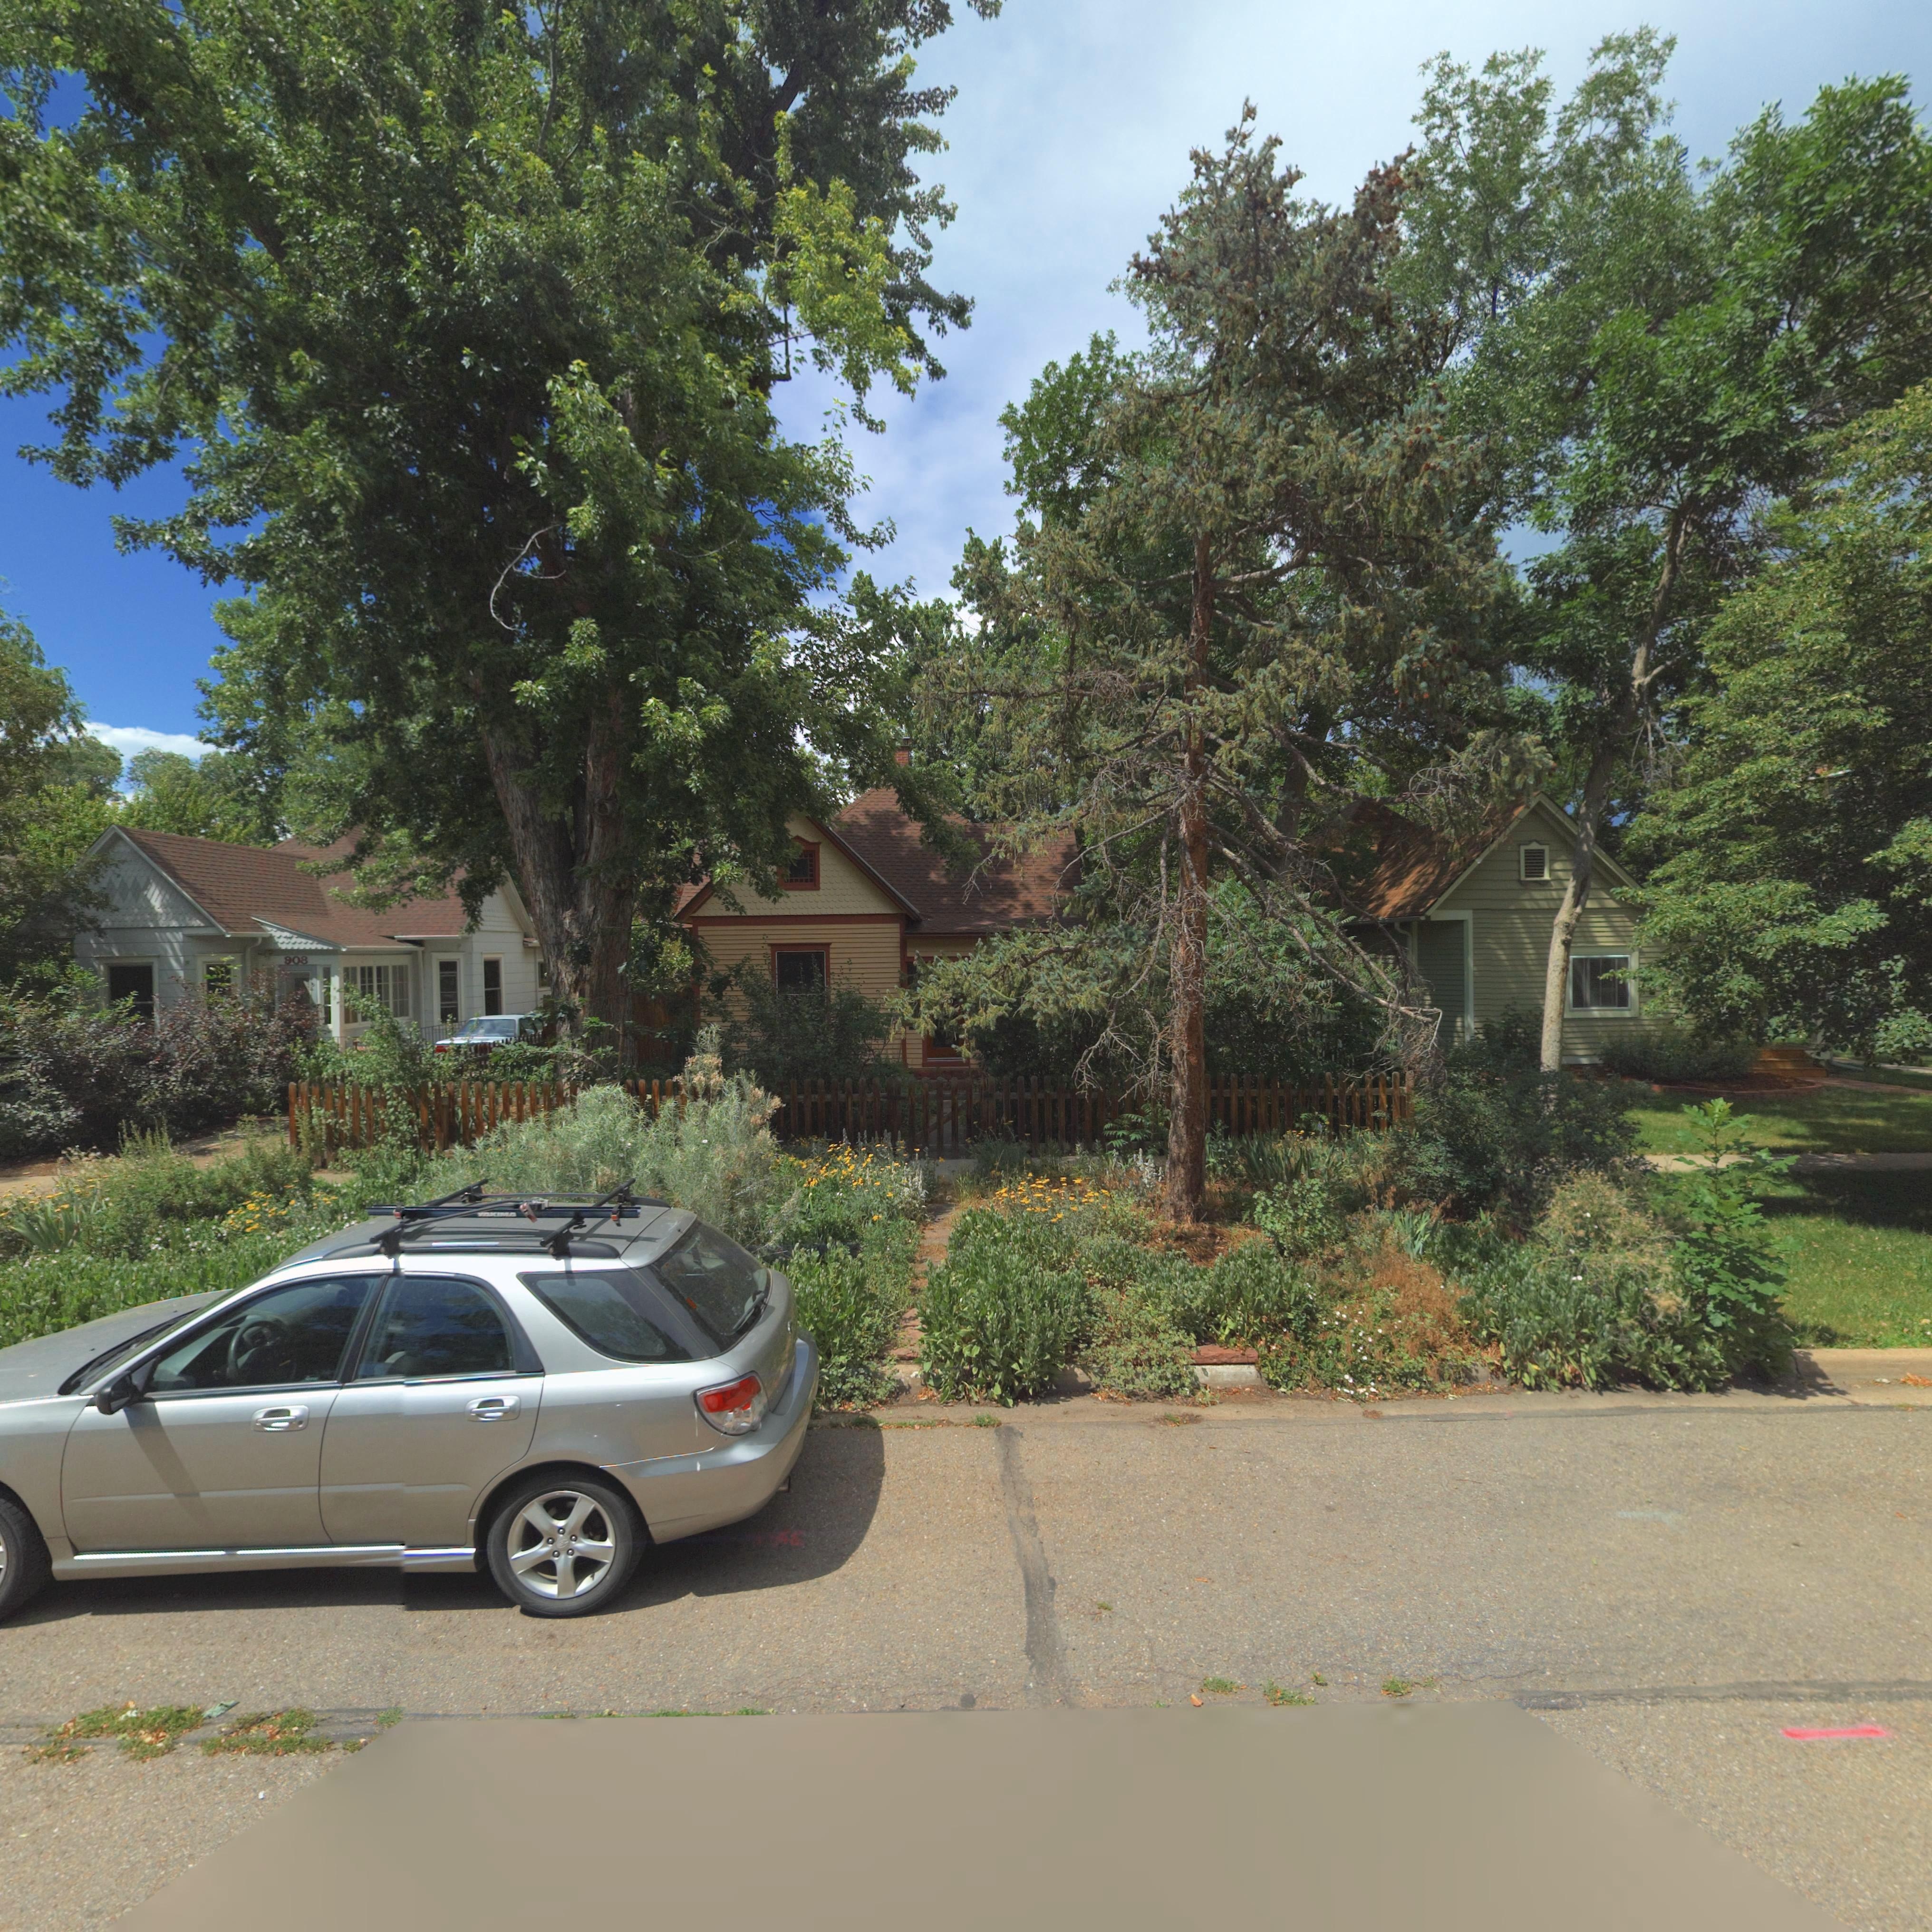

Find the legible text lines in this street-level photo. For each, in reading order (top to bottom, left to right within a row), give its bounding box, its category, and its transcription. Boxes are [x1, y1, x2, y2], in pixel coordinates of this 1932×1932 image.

[283, 955, 309, 966] StreetNumber: 908